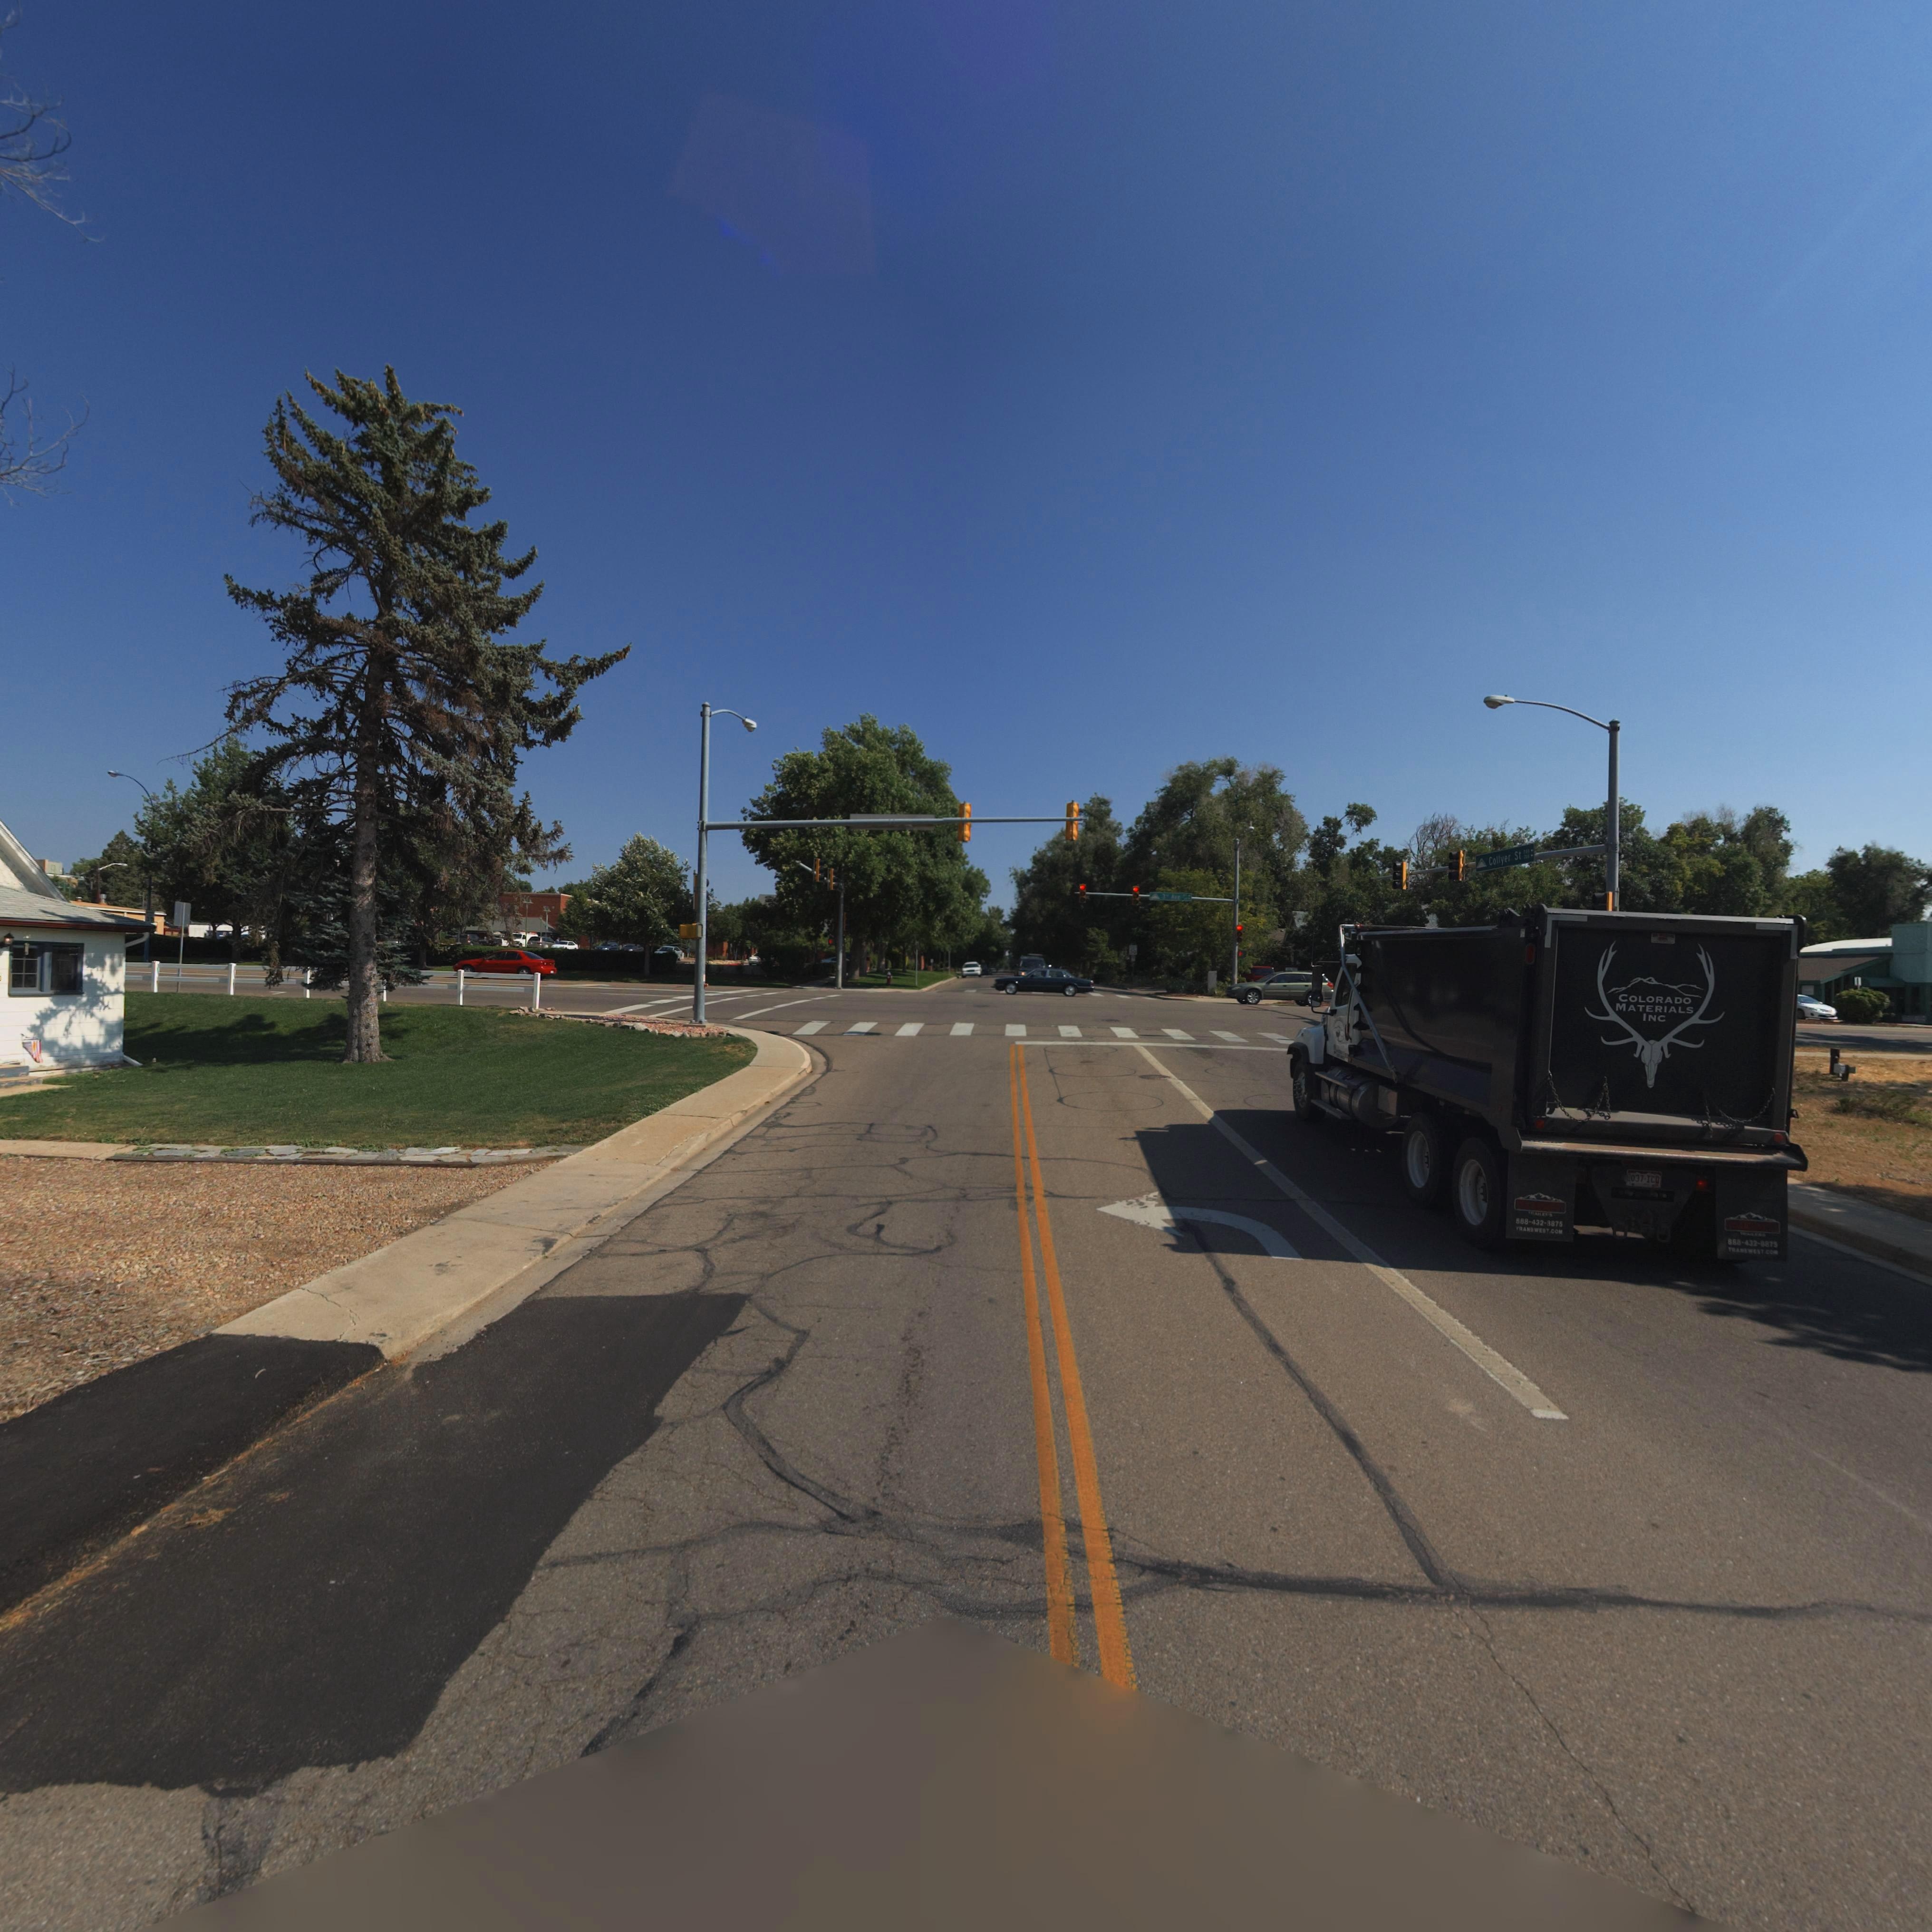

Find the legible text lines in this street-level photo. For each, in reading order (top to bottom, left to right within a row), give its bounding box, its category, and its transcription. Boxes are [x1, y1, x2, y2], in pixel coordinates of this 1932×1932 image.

[1523, 848, 1529, 854] StreetNumberRange: 200
[1488, 850, 1521, 866] StreetName: Collyer St
[1523, 854, 1530, 860] StreetNumberRange: *0*
[1161, 893, 1180, 900] StreetName: 3* Ave